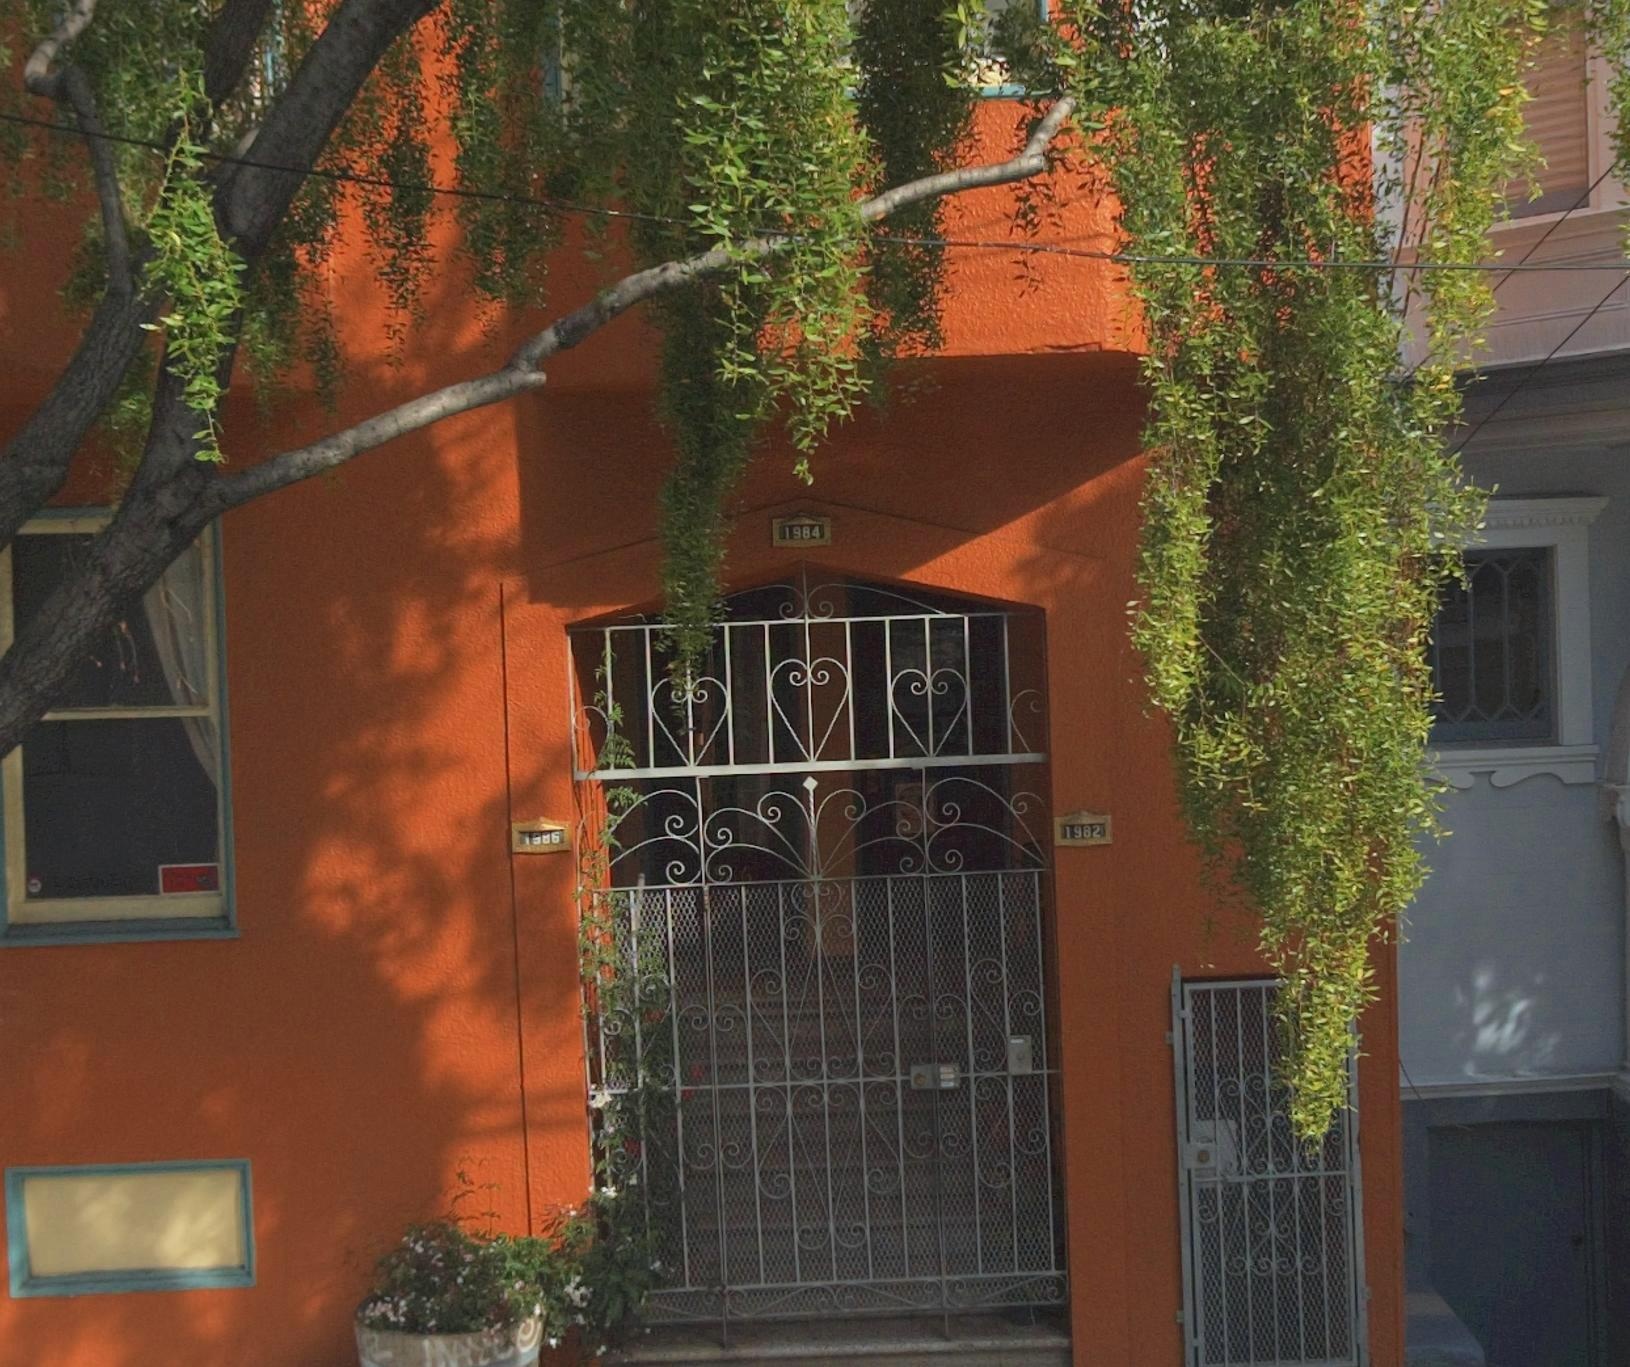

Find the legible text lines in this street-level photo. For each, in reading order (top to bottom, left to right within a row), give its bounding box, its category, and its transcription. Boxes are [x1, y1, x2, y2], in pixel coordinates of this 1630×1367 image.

[783, 524, 822, 541] StreetNumber: 1984
[522, 828, 562, 849] StreetNumber: 1986
[1063, 823, 1103, 840] StreetNumber: 1982